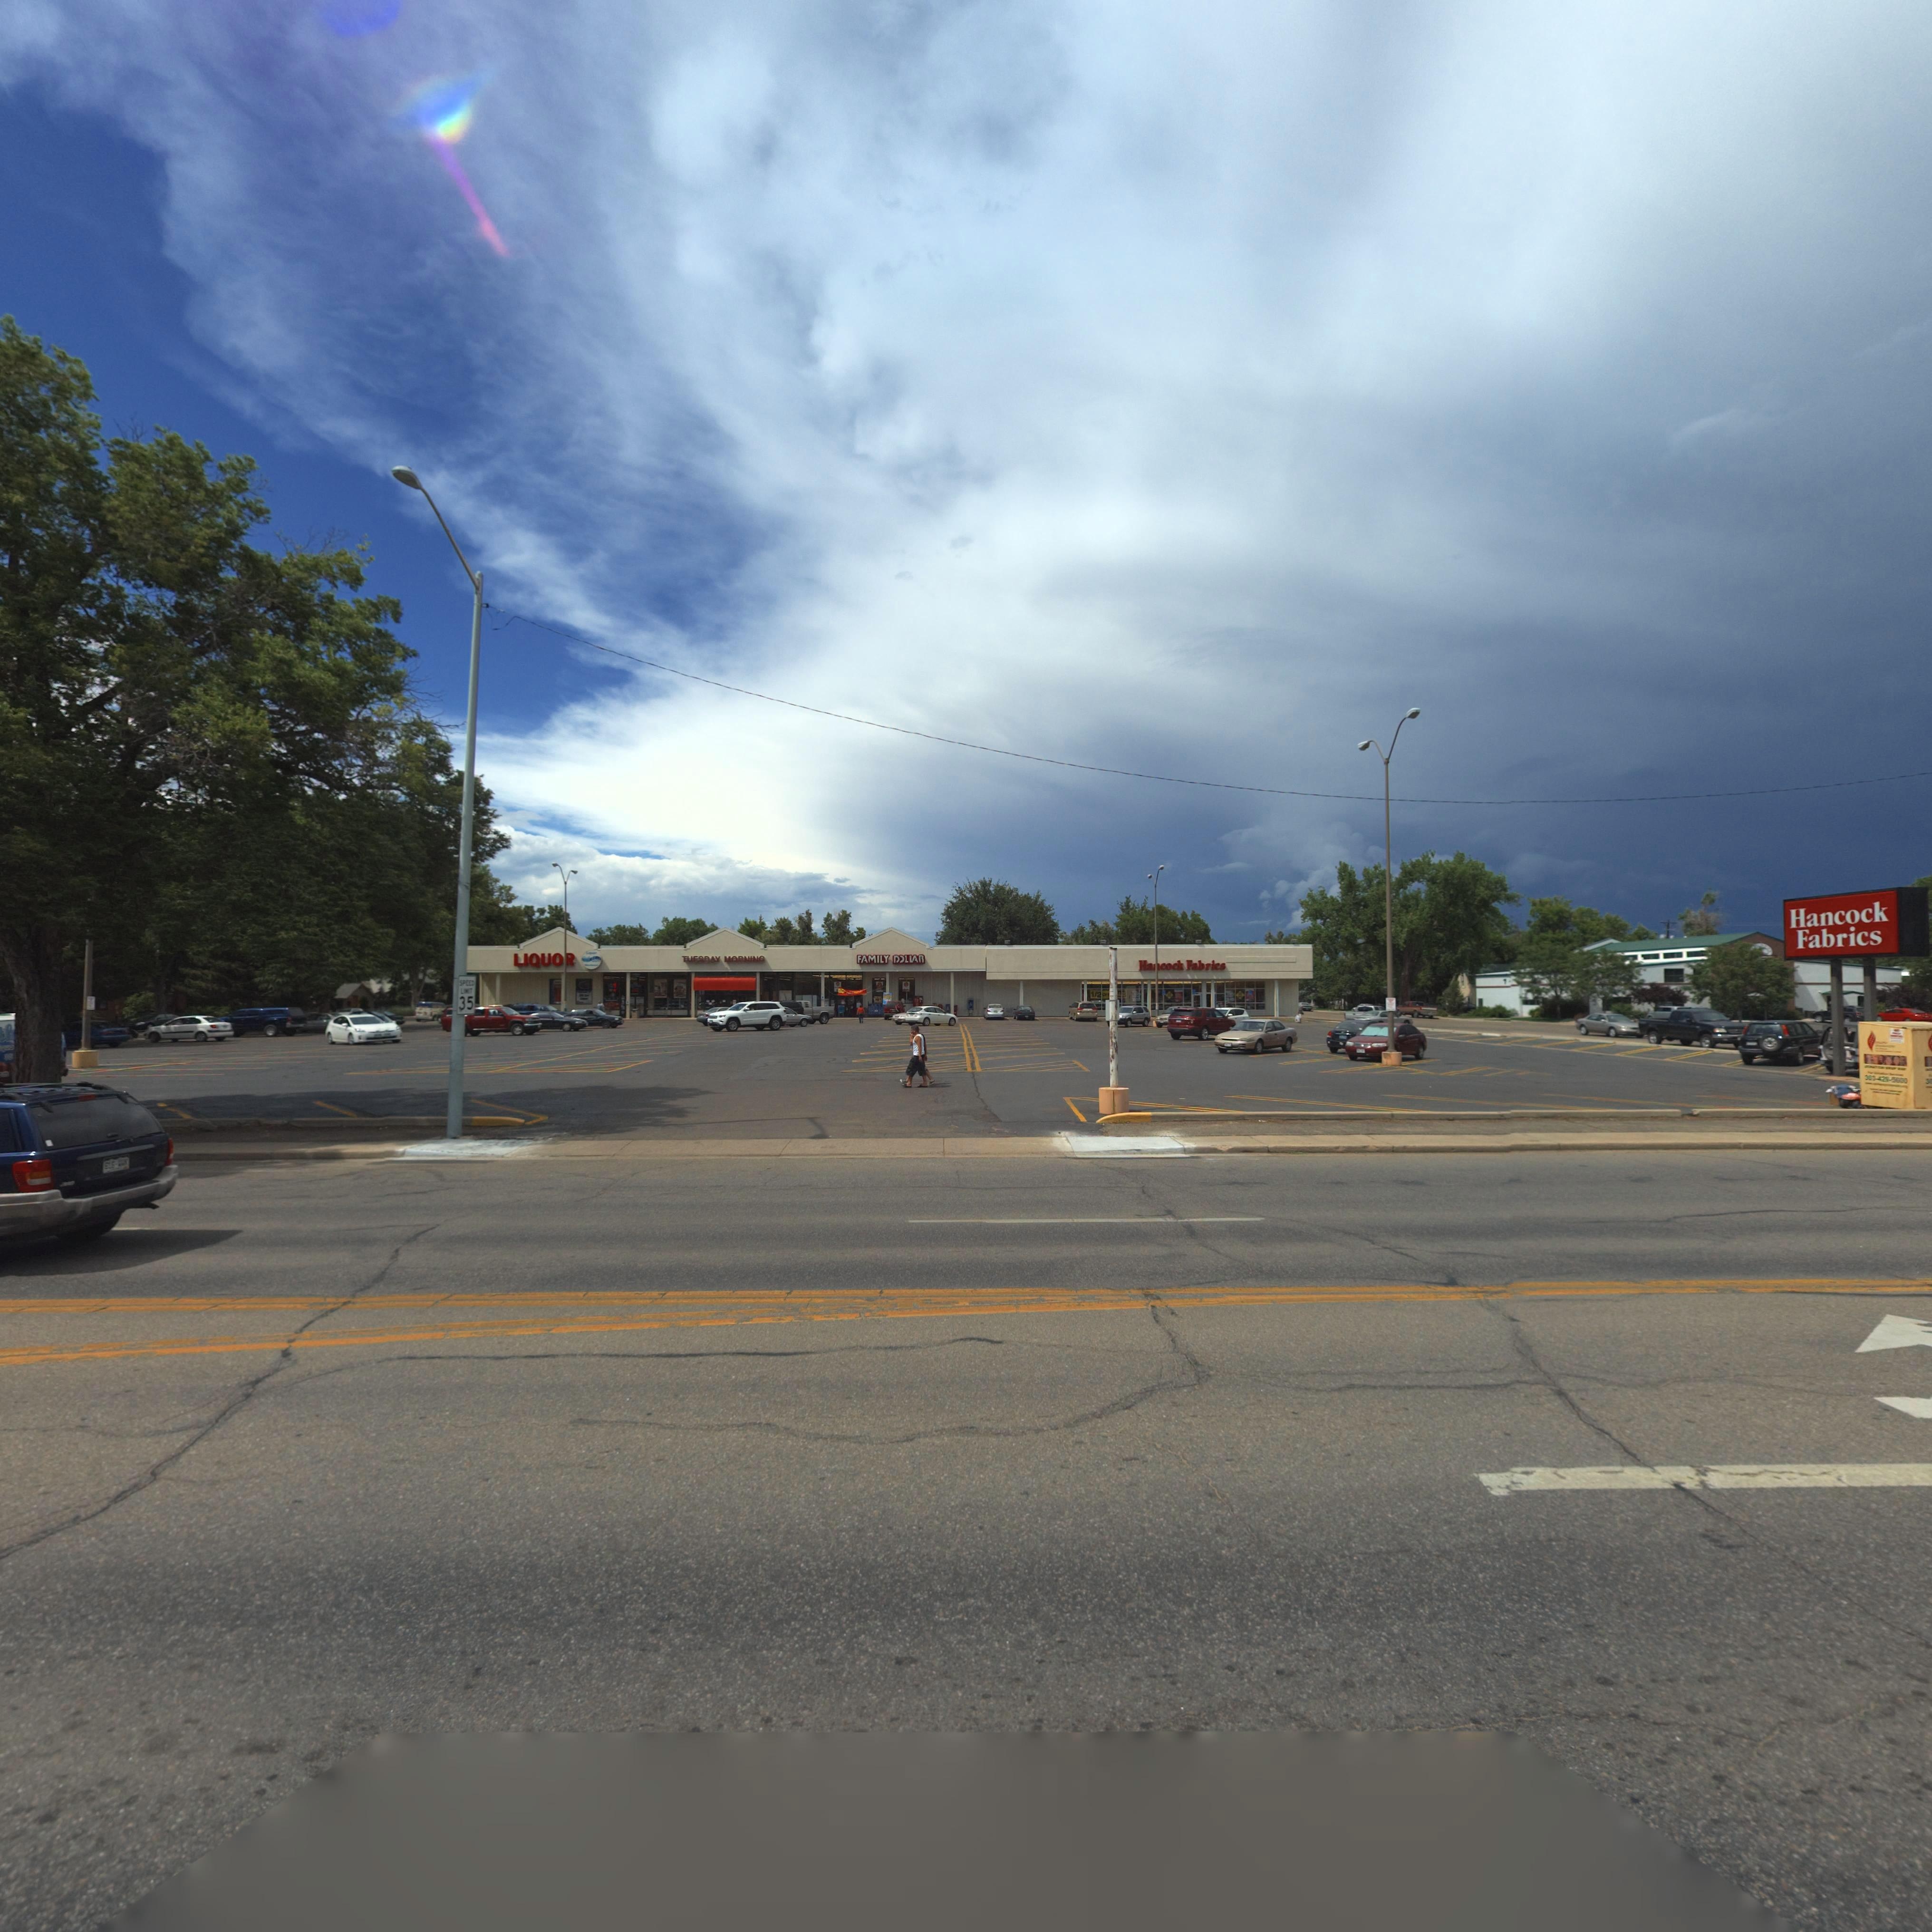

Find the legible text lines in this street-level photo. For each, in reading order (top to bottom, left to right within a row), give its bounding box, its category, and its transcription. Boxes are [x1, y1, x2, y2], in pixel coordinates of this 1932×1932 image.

[1789, 900, 1888, 928] BusinessName: Hancock
[1796, 926, 1882, 948] BusinessName: Fabrics
[682, 956, 764, 962] BusinessName: TUESDAY MORNING
[857, 955, 924, 963] BusinessName: FAMILY DOLLAR
[1139, 959, 1226, 970] BusinessName: Hancock Fabrics